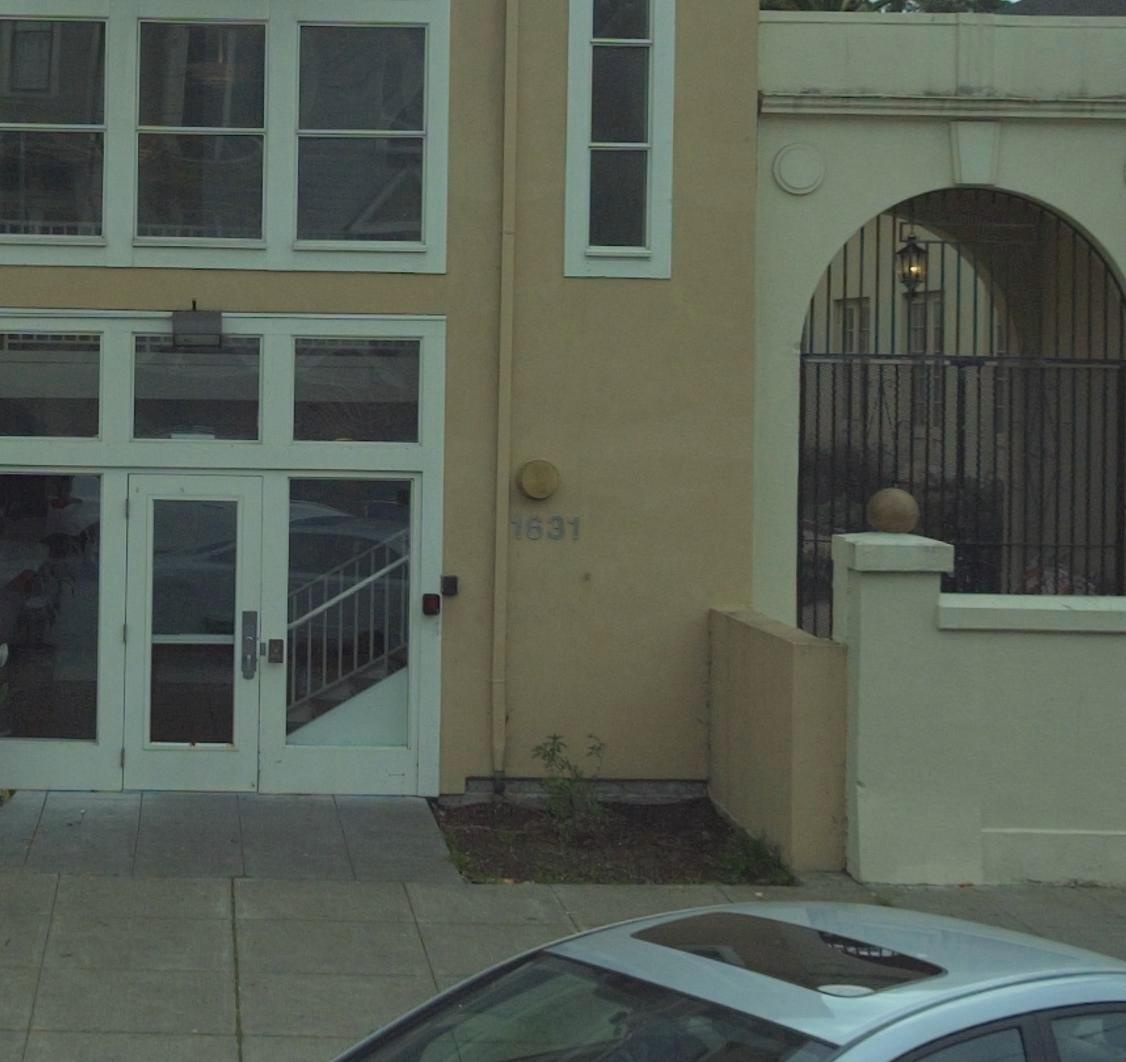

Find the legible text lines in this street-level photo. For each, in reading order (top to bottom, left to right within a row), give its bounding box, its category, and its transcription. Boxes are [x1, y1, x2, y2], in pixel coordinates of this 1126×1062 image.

[508, 513, 581, 544] StreetNumber: 1631